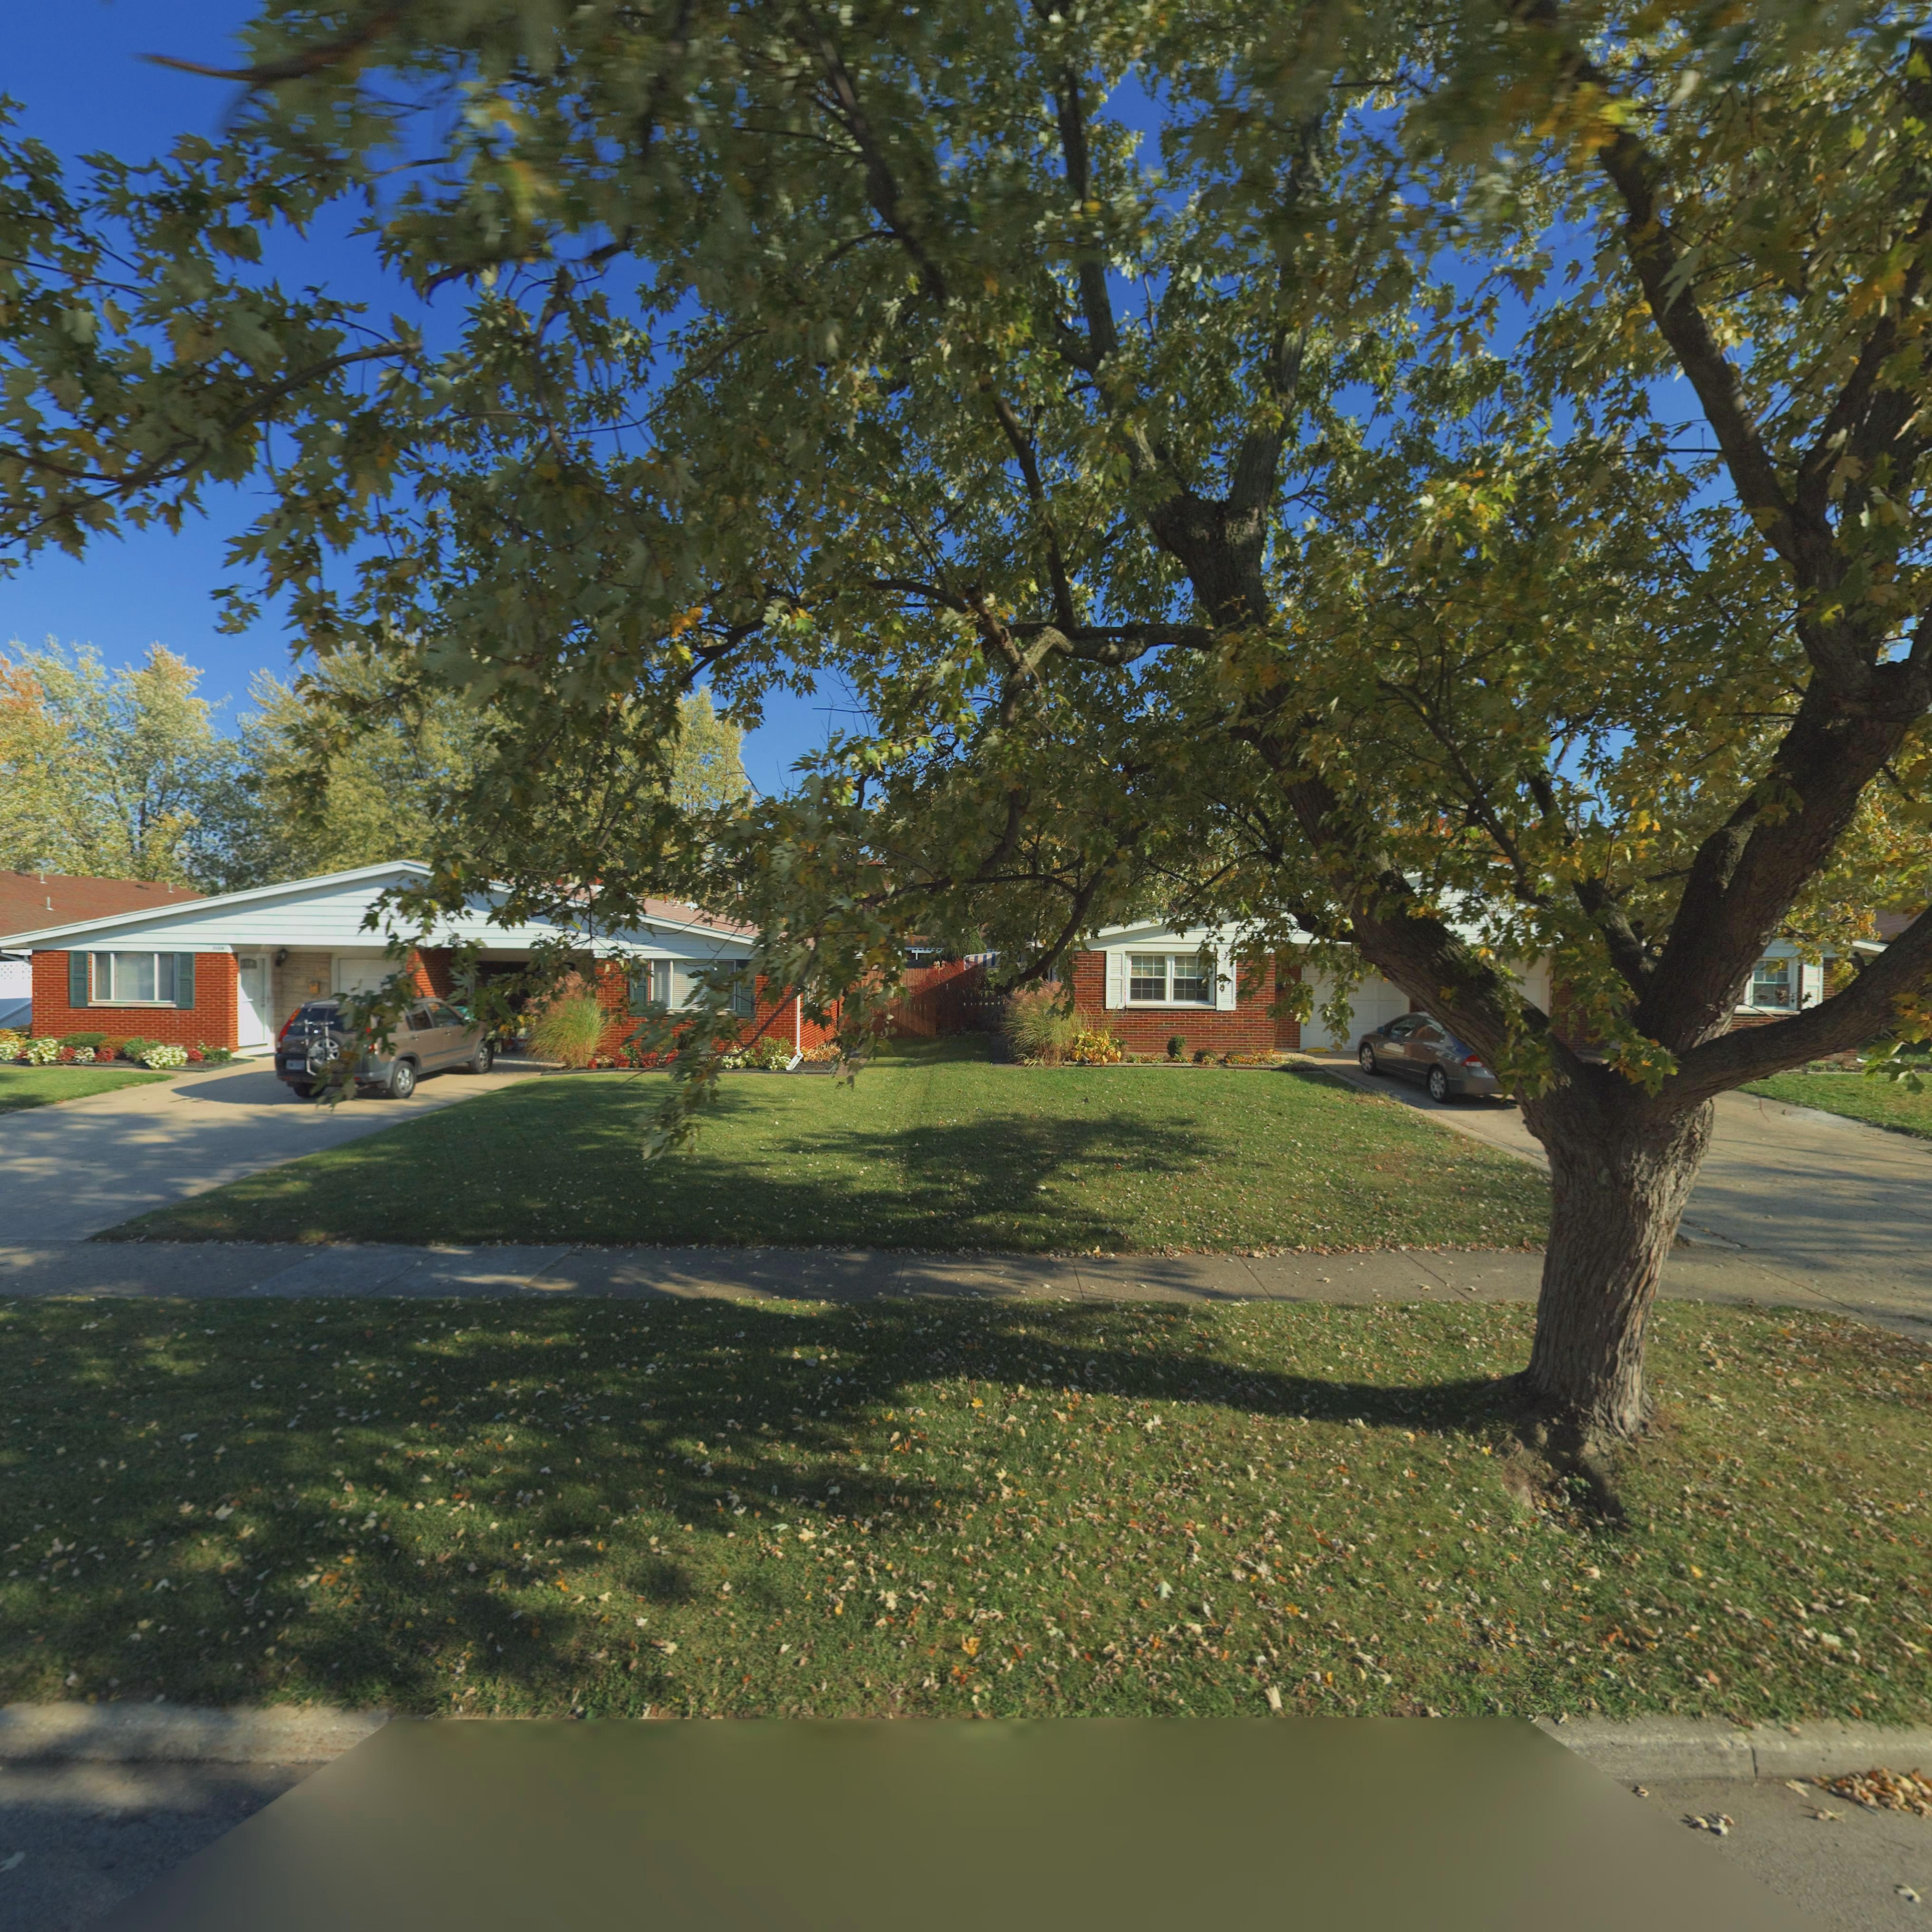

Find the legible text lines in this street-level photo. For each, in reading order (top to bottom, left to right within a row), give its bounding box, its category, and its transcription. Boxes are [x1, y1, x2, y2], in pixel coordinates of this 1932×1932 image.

[211, 945, 224, 950] StreetNumber: 3104
[596, 950, 609, 957] StreetNumber: 3106